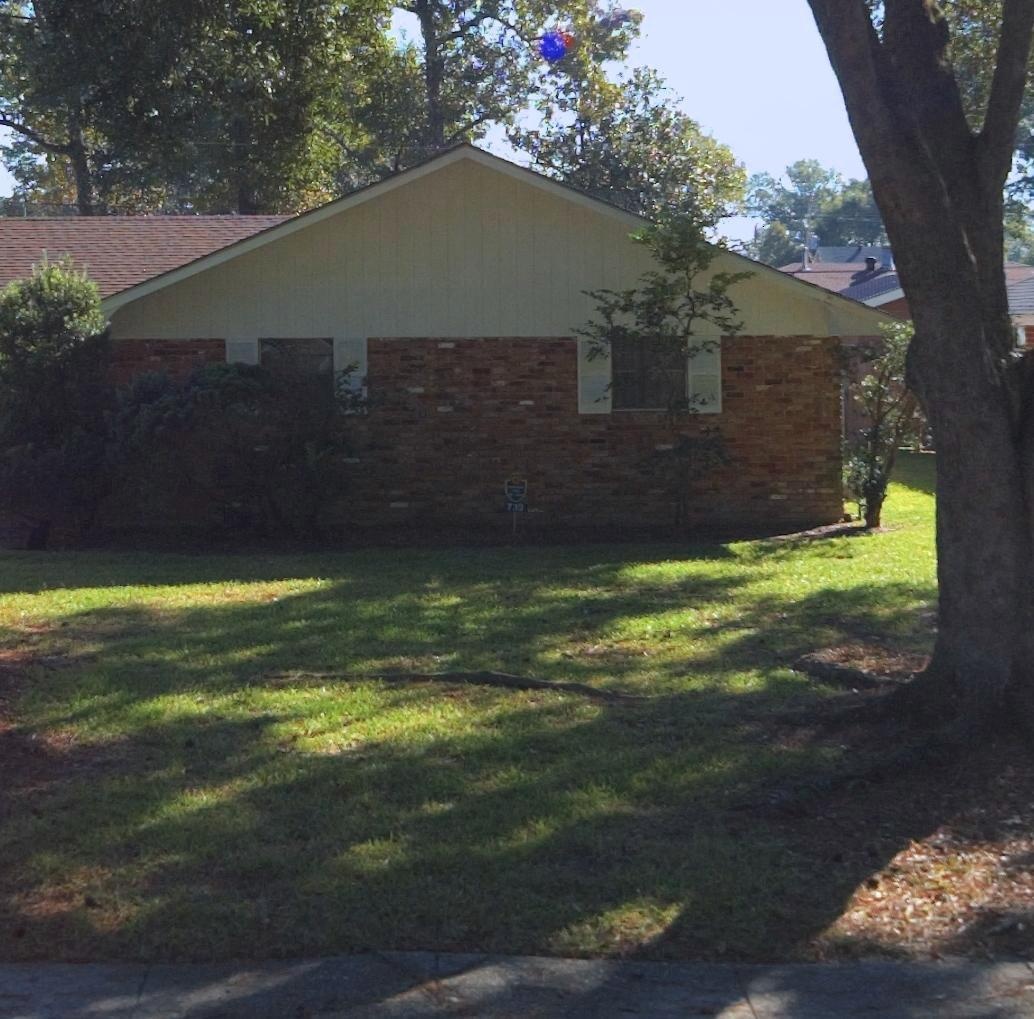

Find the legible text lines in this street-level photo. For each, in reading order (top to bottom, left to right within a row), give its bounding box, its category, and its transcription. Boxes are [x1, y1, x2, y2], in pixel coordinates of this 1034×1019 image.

[505, 501, 526, 514] StreetNumber: 733